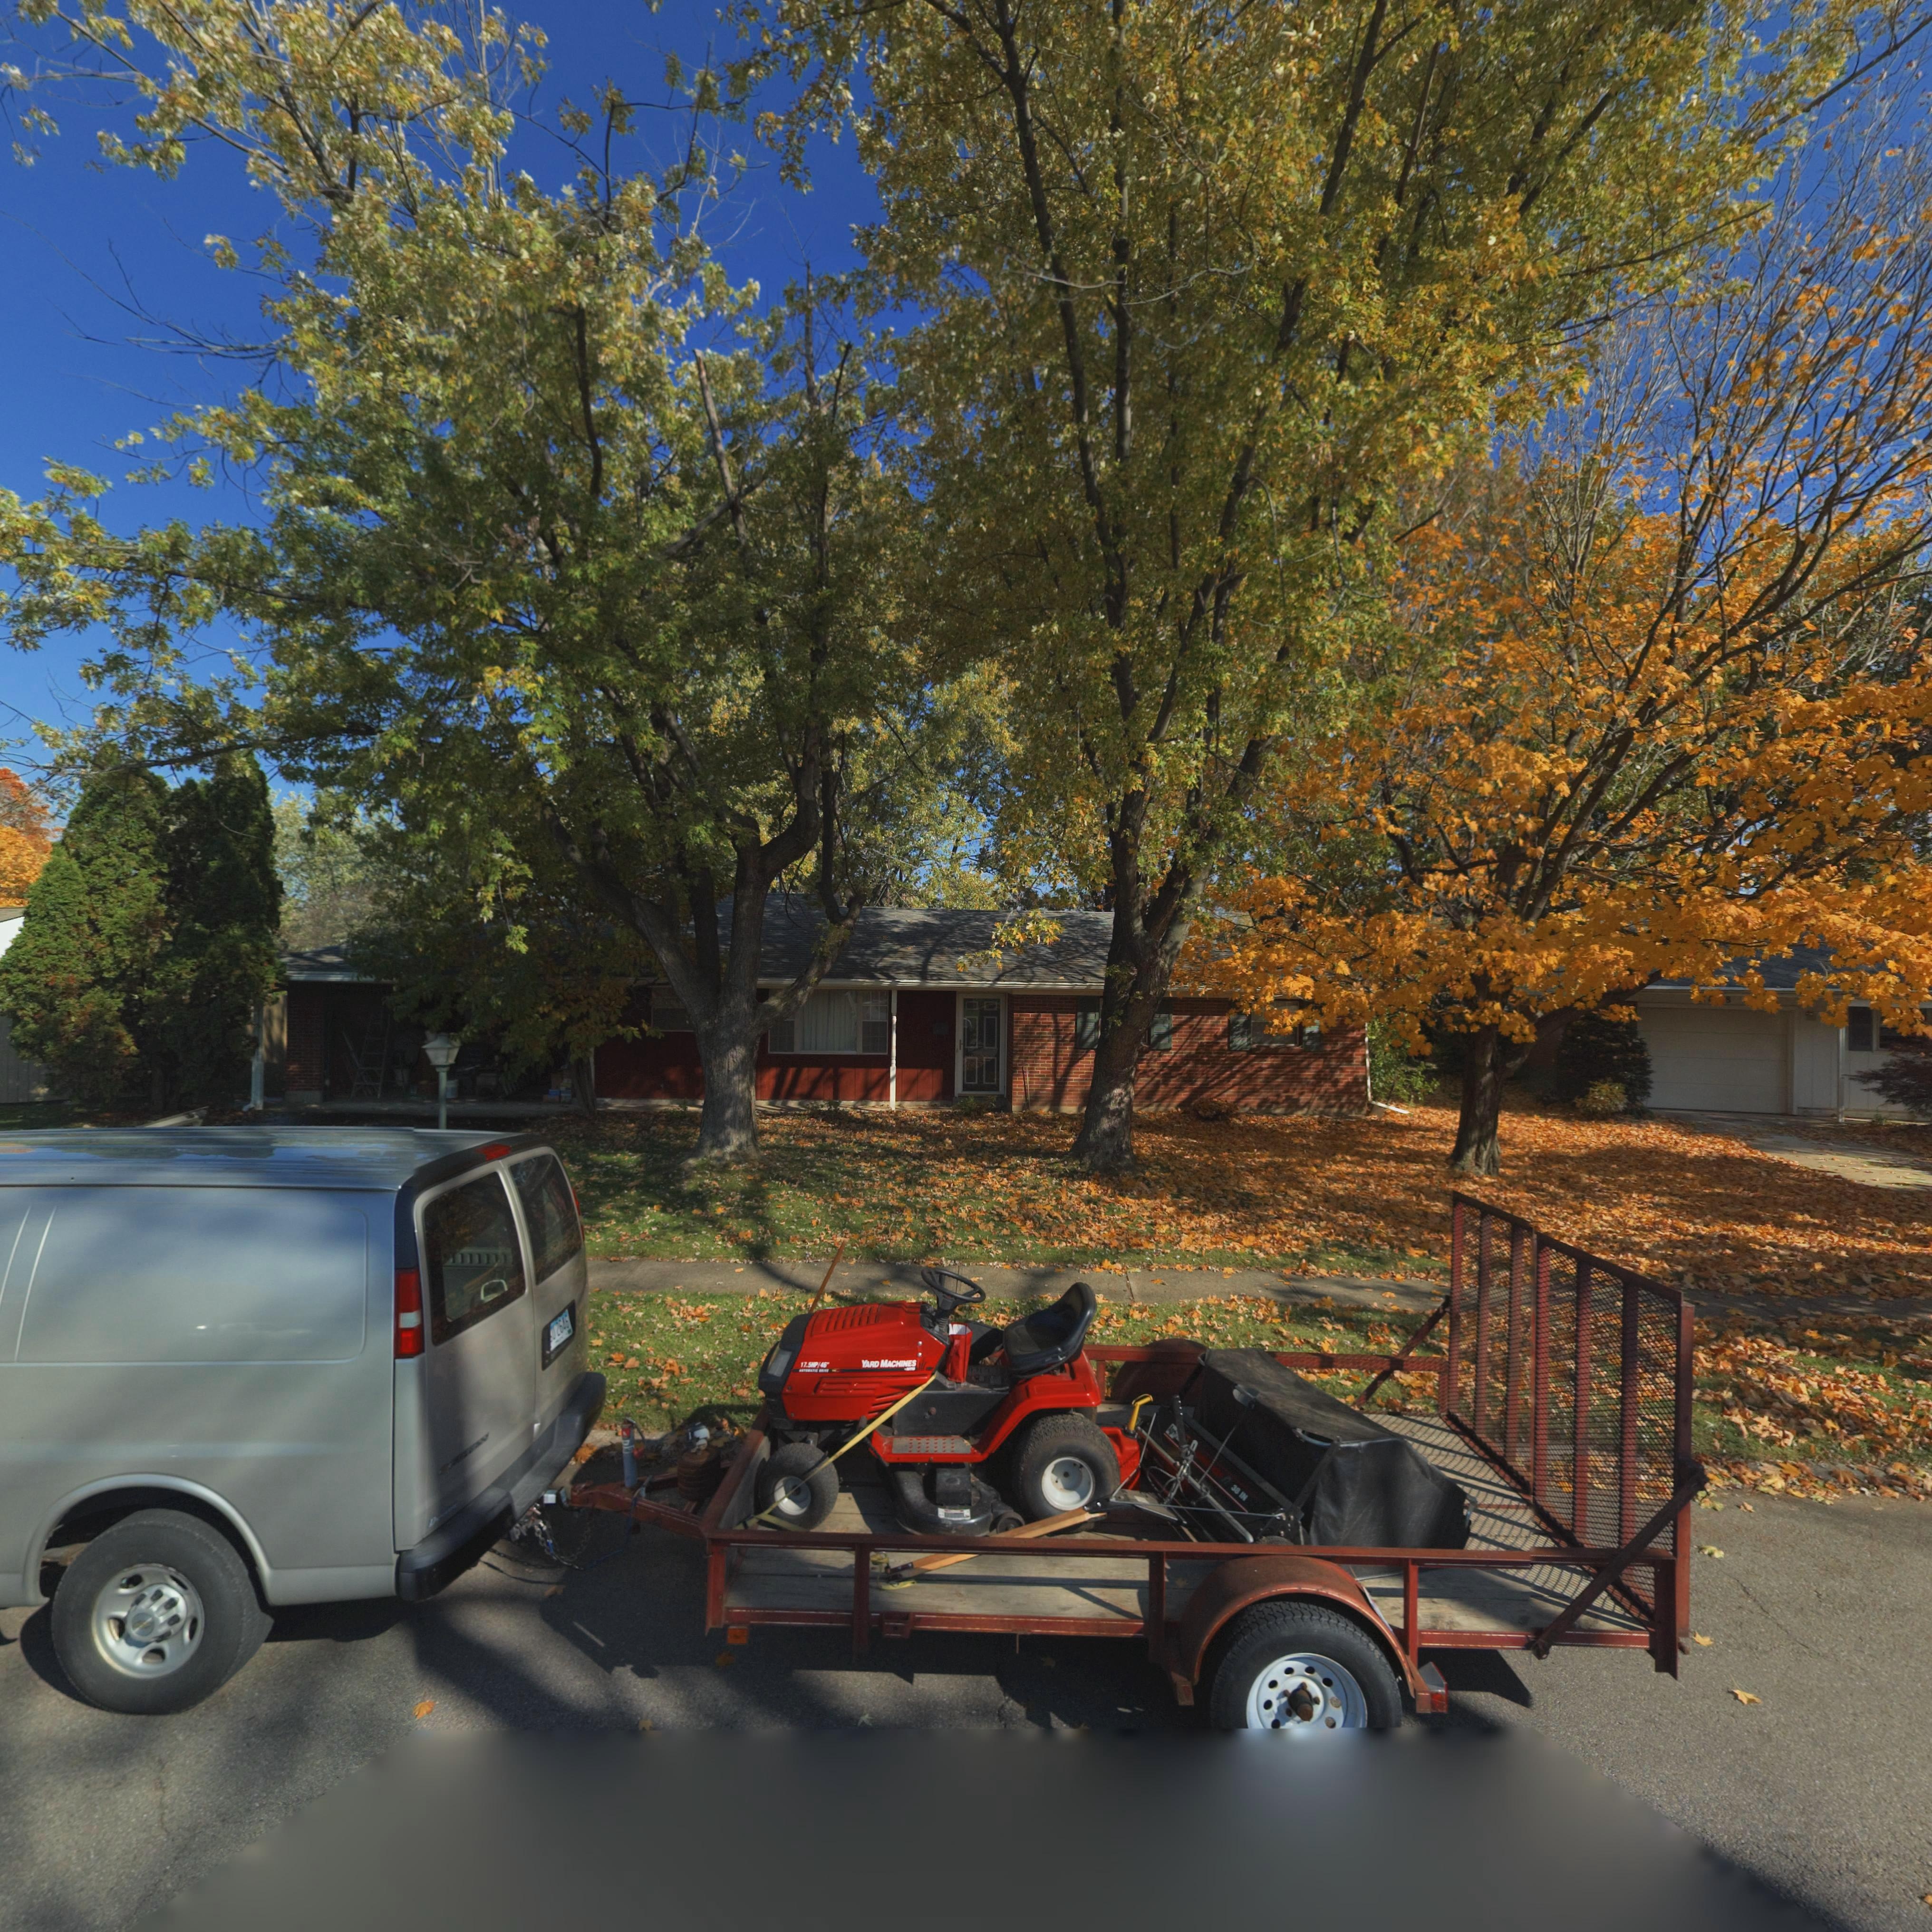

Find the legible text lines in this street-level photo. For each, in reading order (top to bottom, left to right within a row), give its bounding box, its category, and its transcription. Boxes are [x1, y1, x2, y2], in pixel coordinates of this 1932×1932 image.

[553, 1313, 572, 1339] None: 2646
[799, 1360, 831, 1369] None: 17.5HP/46*
[859, 1358, 919, 1370] None: YARD MACHINES
[1228, 1481, 1250, 1503] None: 38 IN